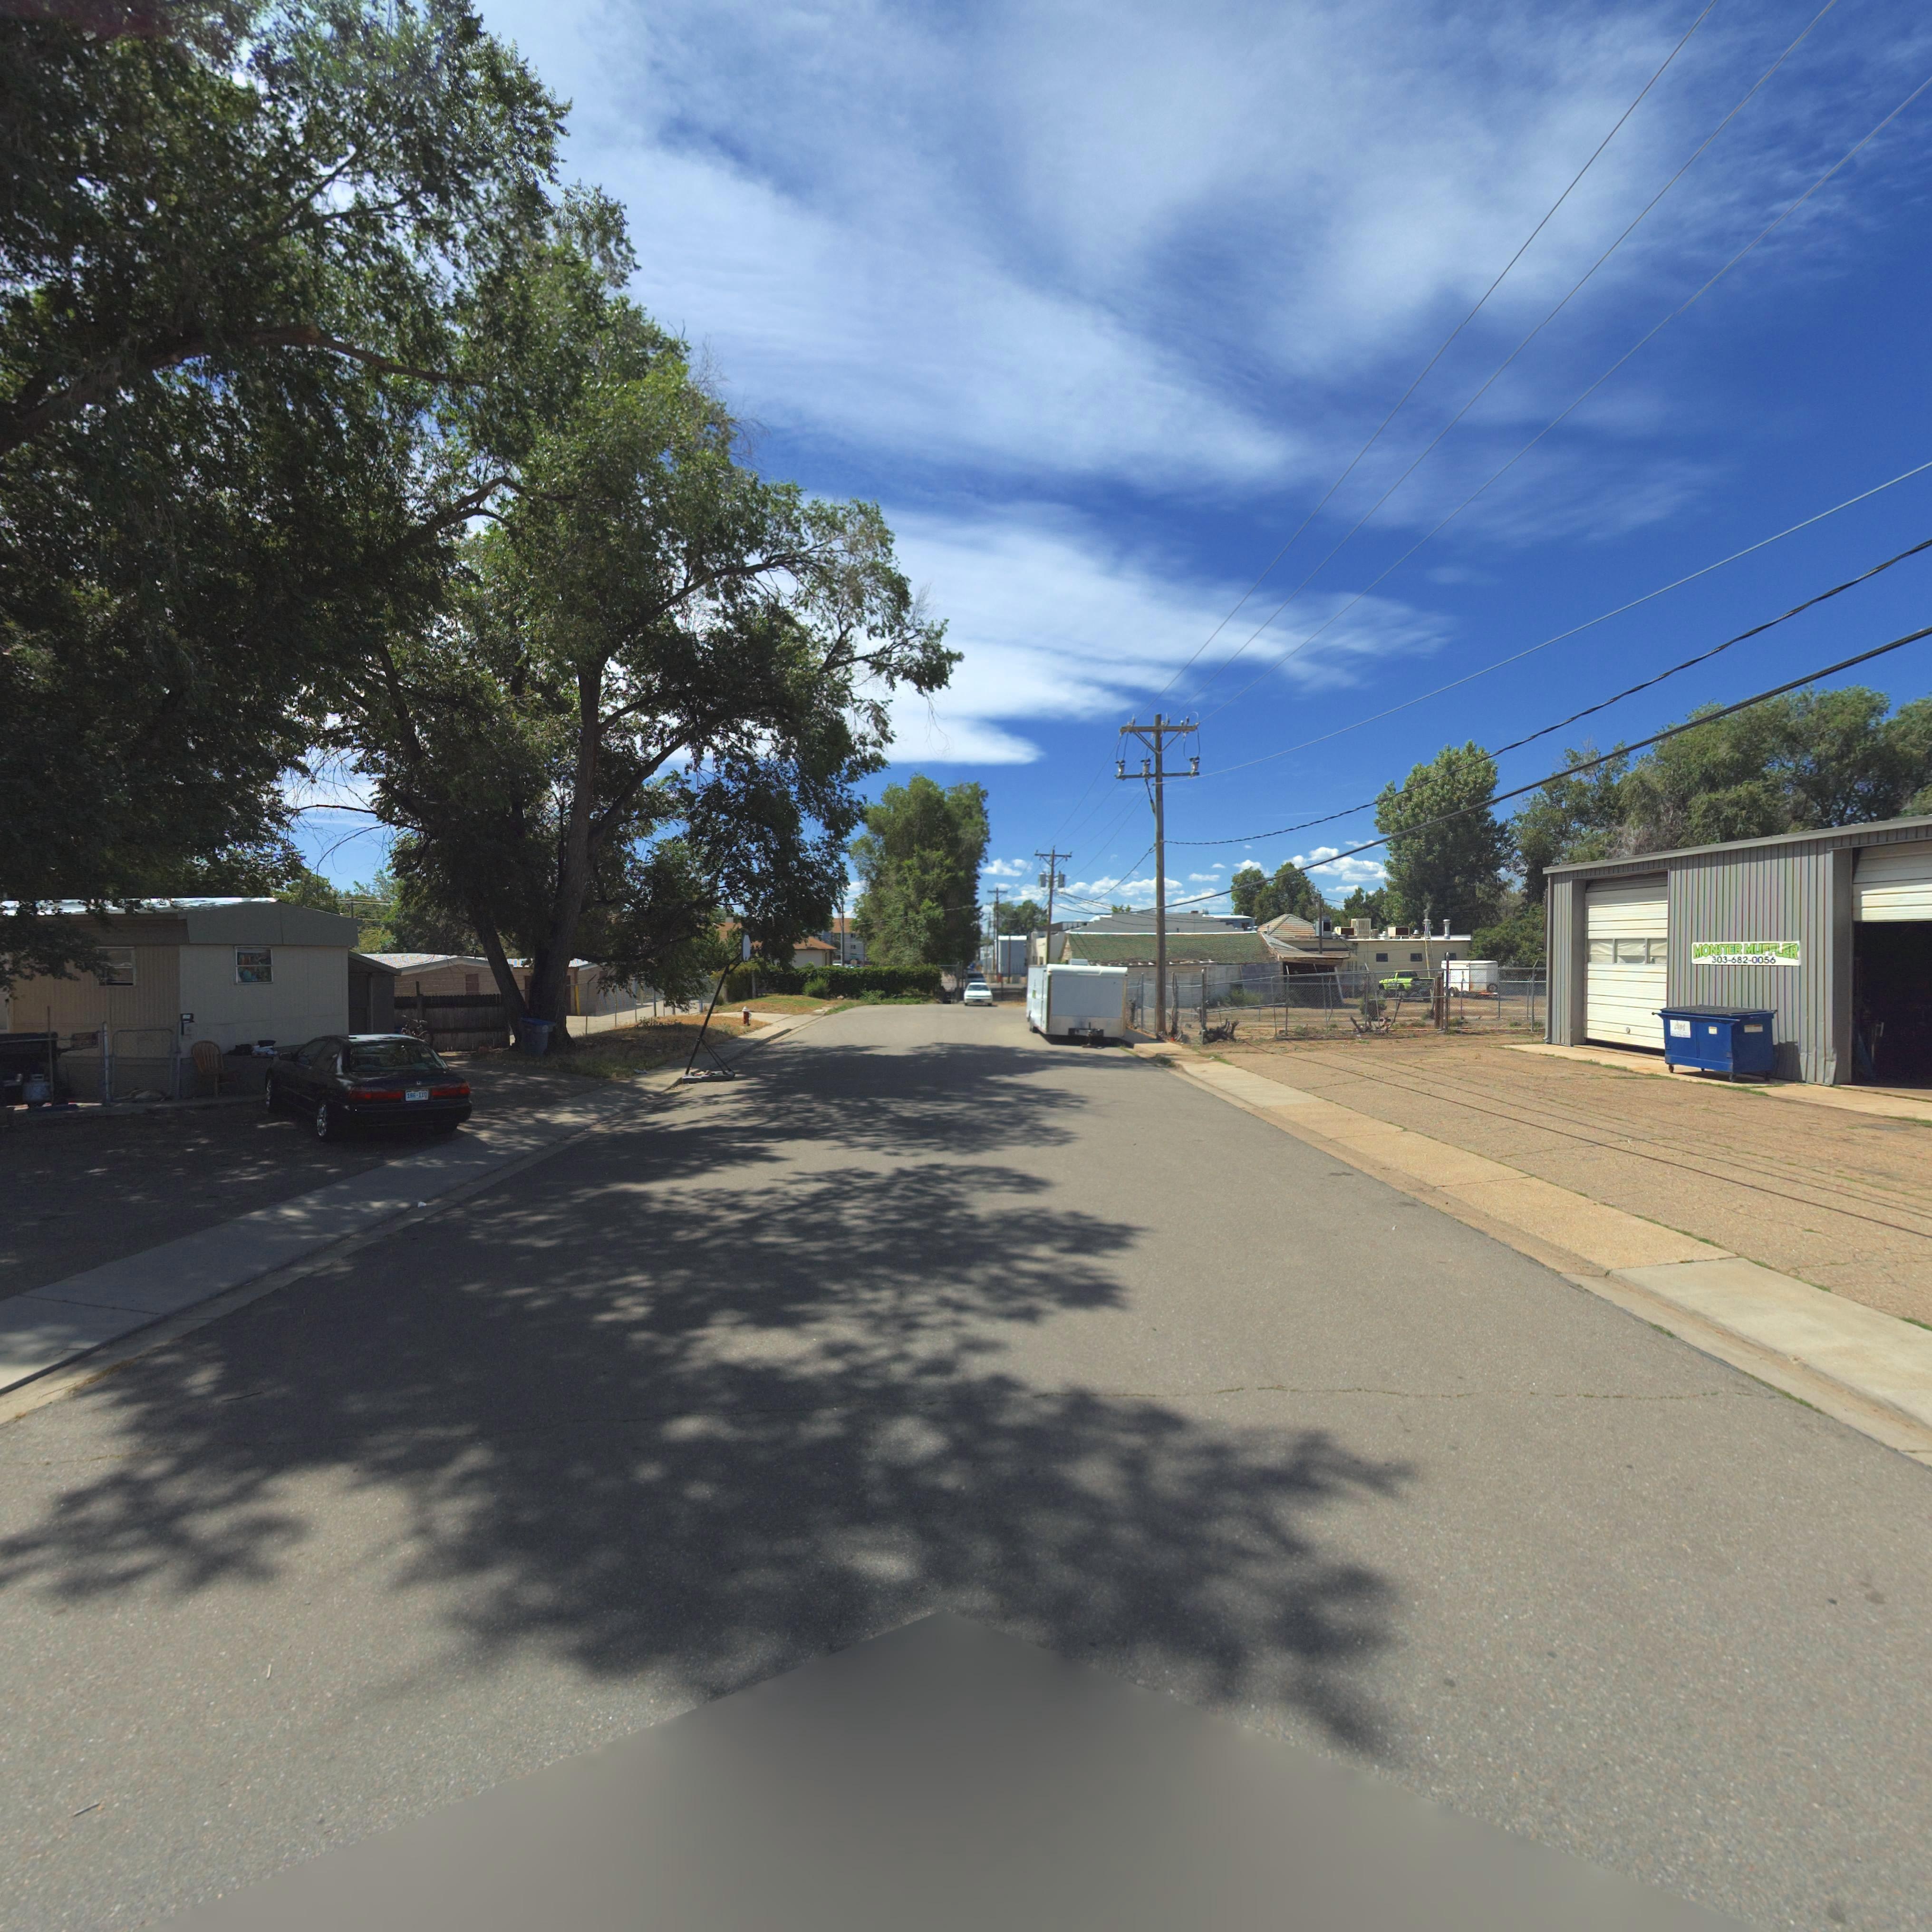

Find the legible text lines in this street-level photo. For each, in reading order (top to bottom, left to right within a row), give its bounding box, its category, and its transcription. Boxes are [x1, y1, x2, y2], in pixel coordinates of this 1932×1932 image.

[1692, 942, 1799, 960] BusinessName: MONSTER MUFFLER